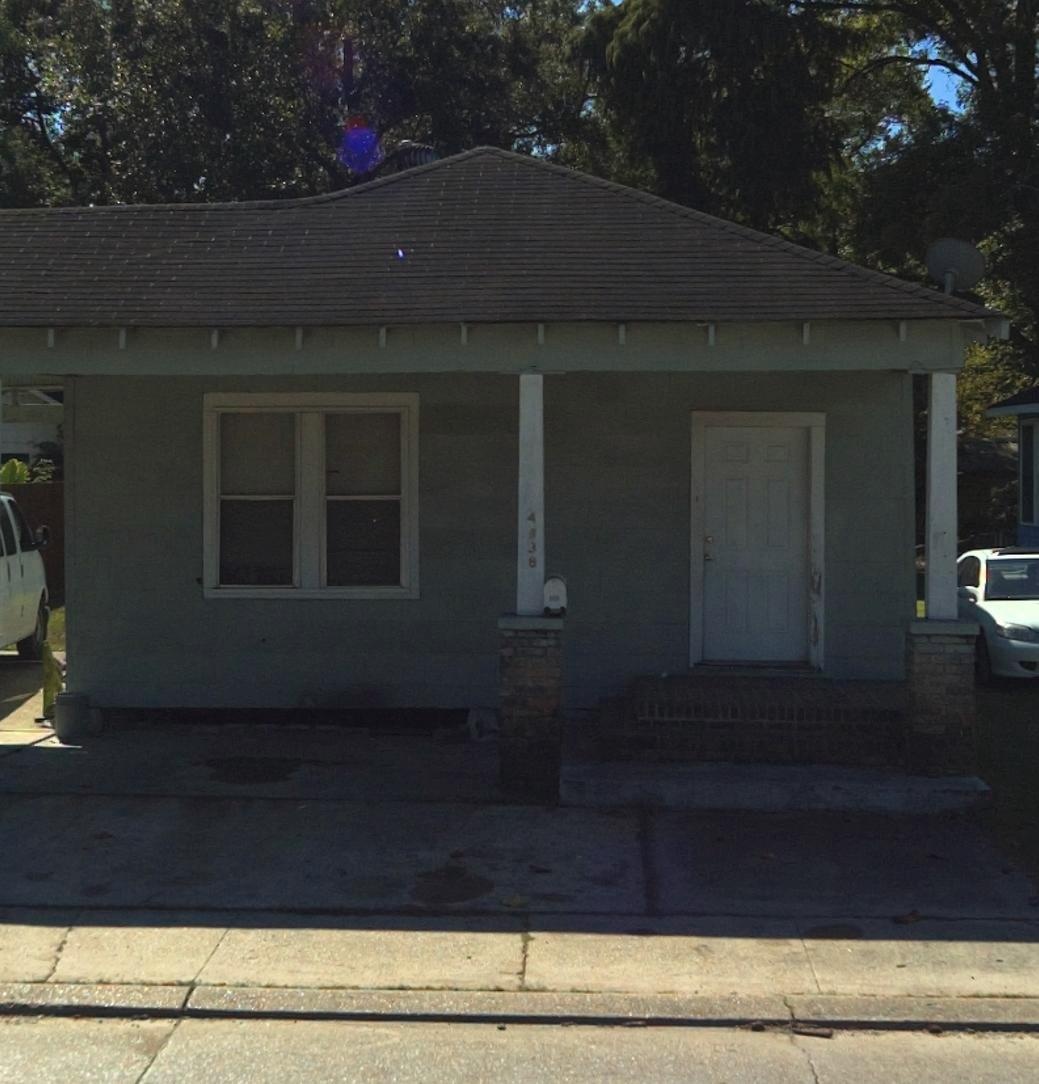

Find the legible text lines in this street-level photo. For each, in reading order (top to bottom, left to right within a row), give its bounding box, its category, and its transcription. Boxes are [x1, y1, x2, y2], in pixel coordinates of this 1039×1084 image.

[527, 509, 537, 569] StreetNumber: 4*38